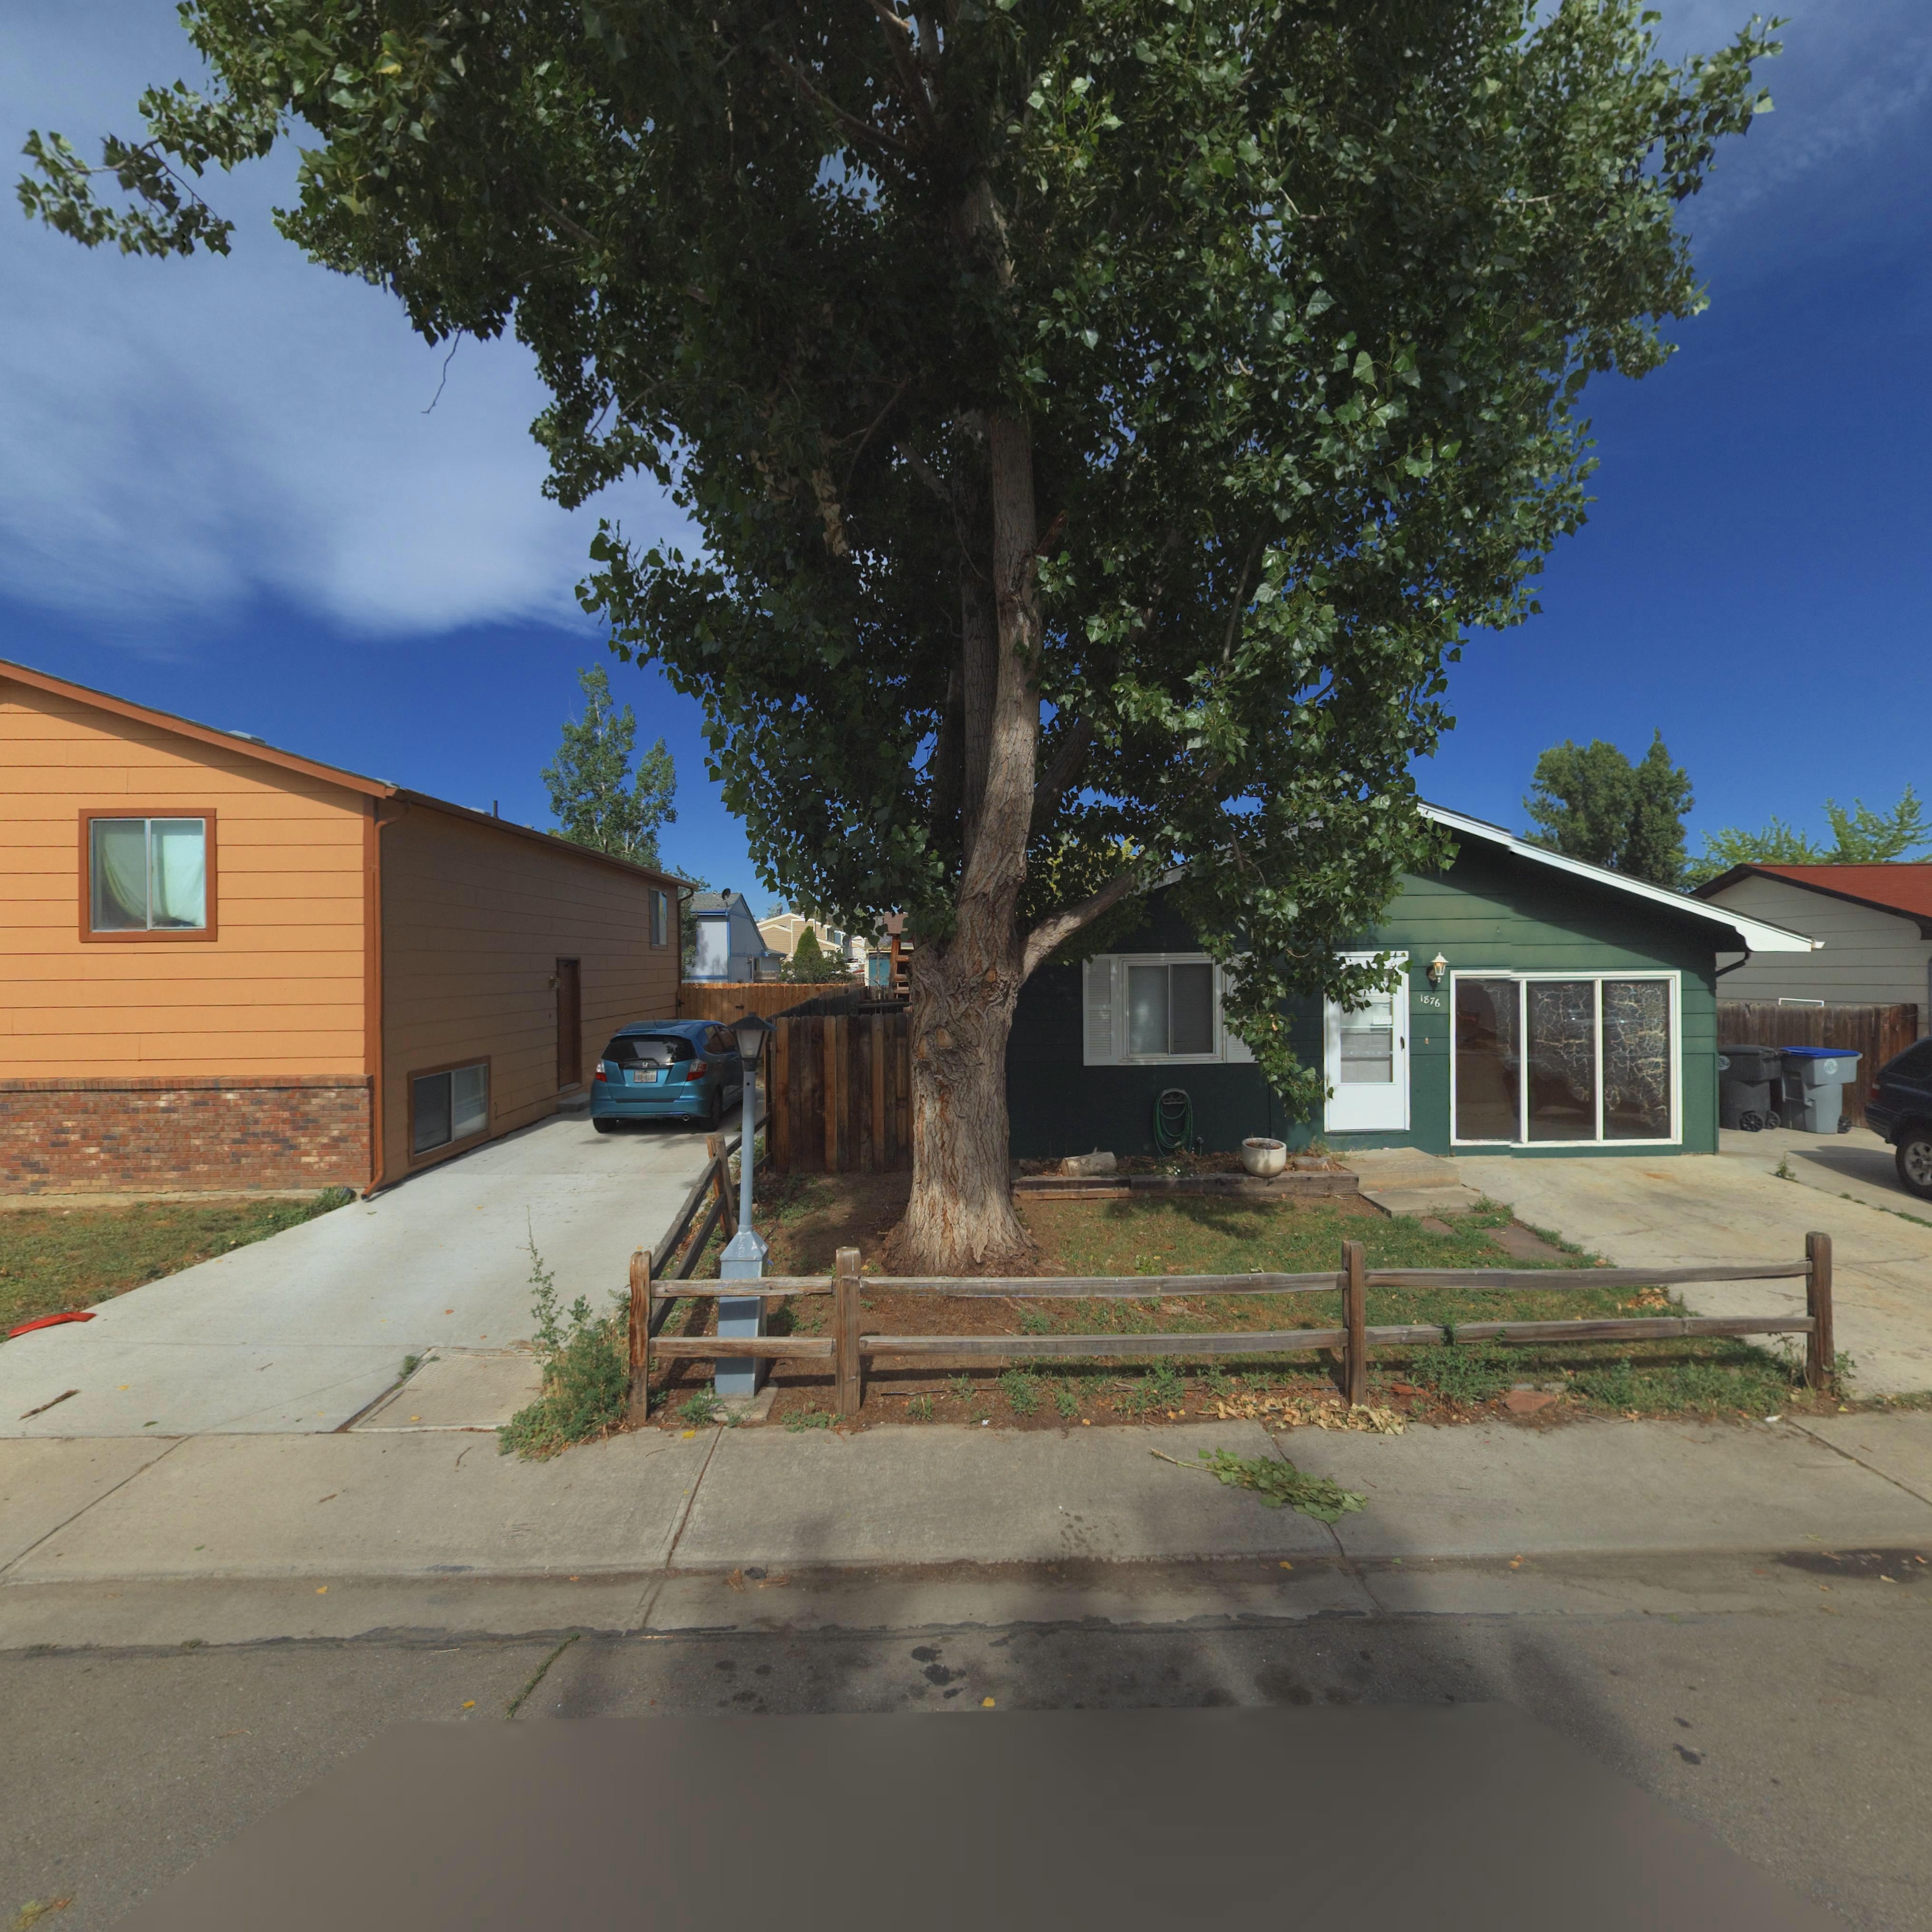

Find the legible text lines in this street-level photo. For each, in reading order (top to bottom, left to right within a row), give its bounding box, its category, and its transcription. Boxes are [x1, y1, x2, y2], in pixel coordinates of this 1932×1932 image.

[1420, 994, 1440, 1008] StreetNumber: 1876